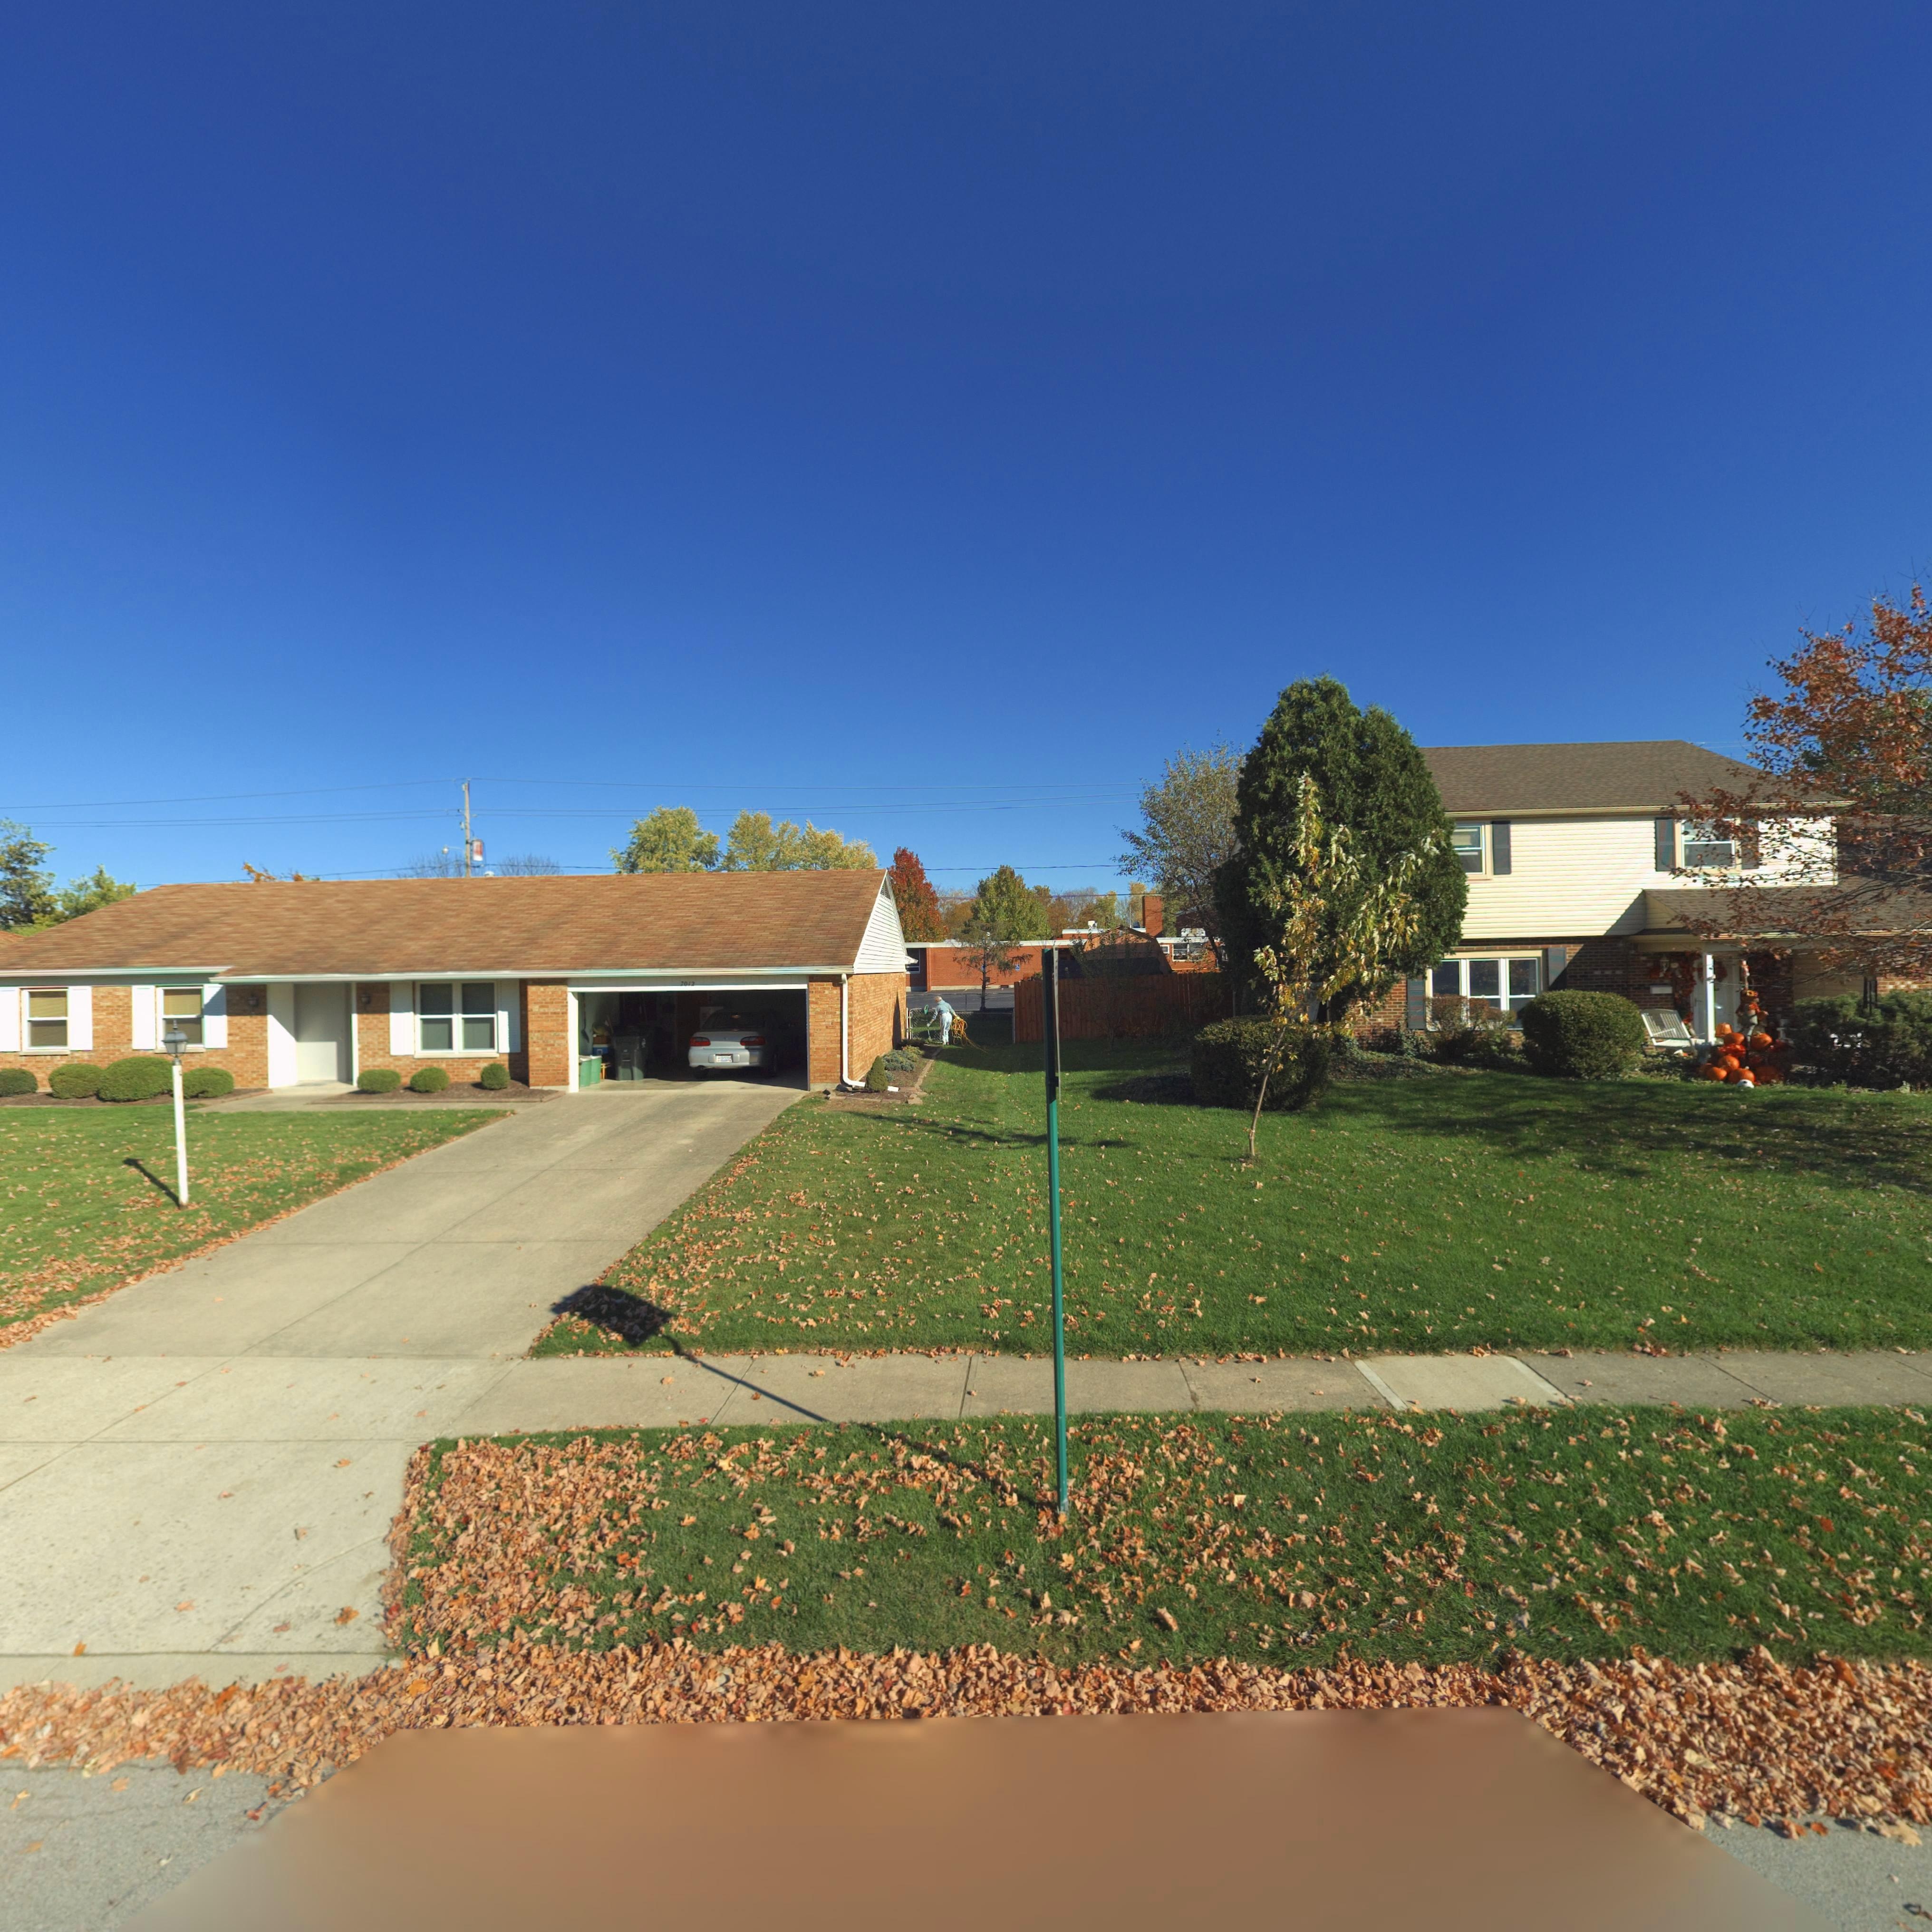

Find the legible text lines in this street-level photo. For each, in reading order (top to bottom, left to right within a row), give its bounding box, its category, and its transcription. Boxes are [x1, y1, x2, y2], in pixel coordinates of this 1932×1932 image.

[680, 980, 695, 986] StreetNumber: 7012